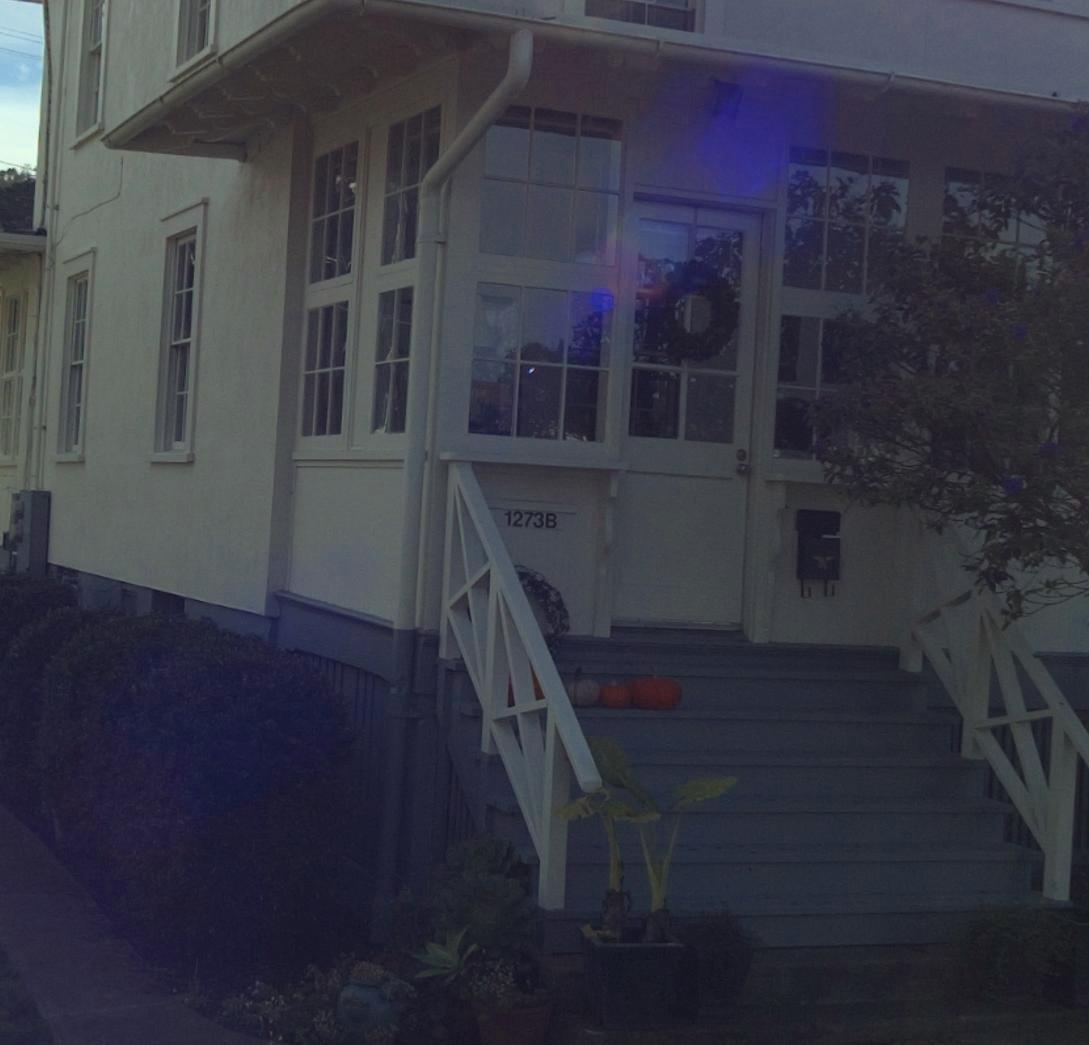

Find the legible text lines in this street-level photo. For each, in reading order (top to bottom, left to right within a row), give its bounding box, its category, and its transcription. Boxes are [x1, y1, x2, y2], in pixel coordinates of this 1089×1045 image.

[503, 509, 560, 531] StreetNumber: 1273b